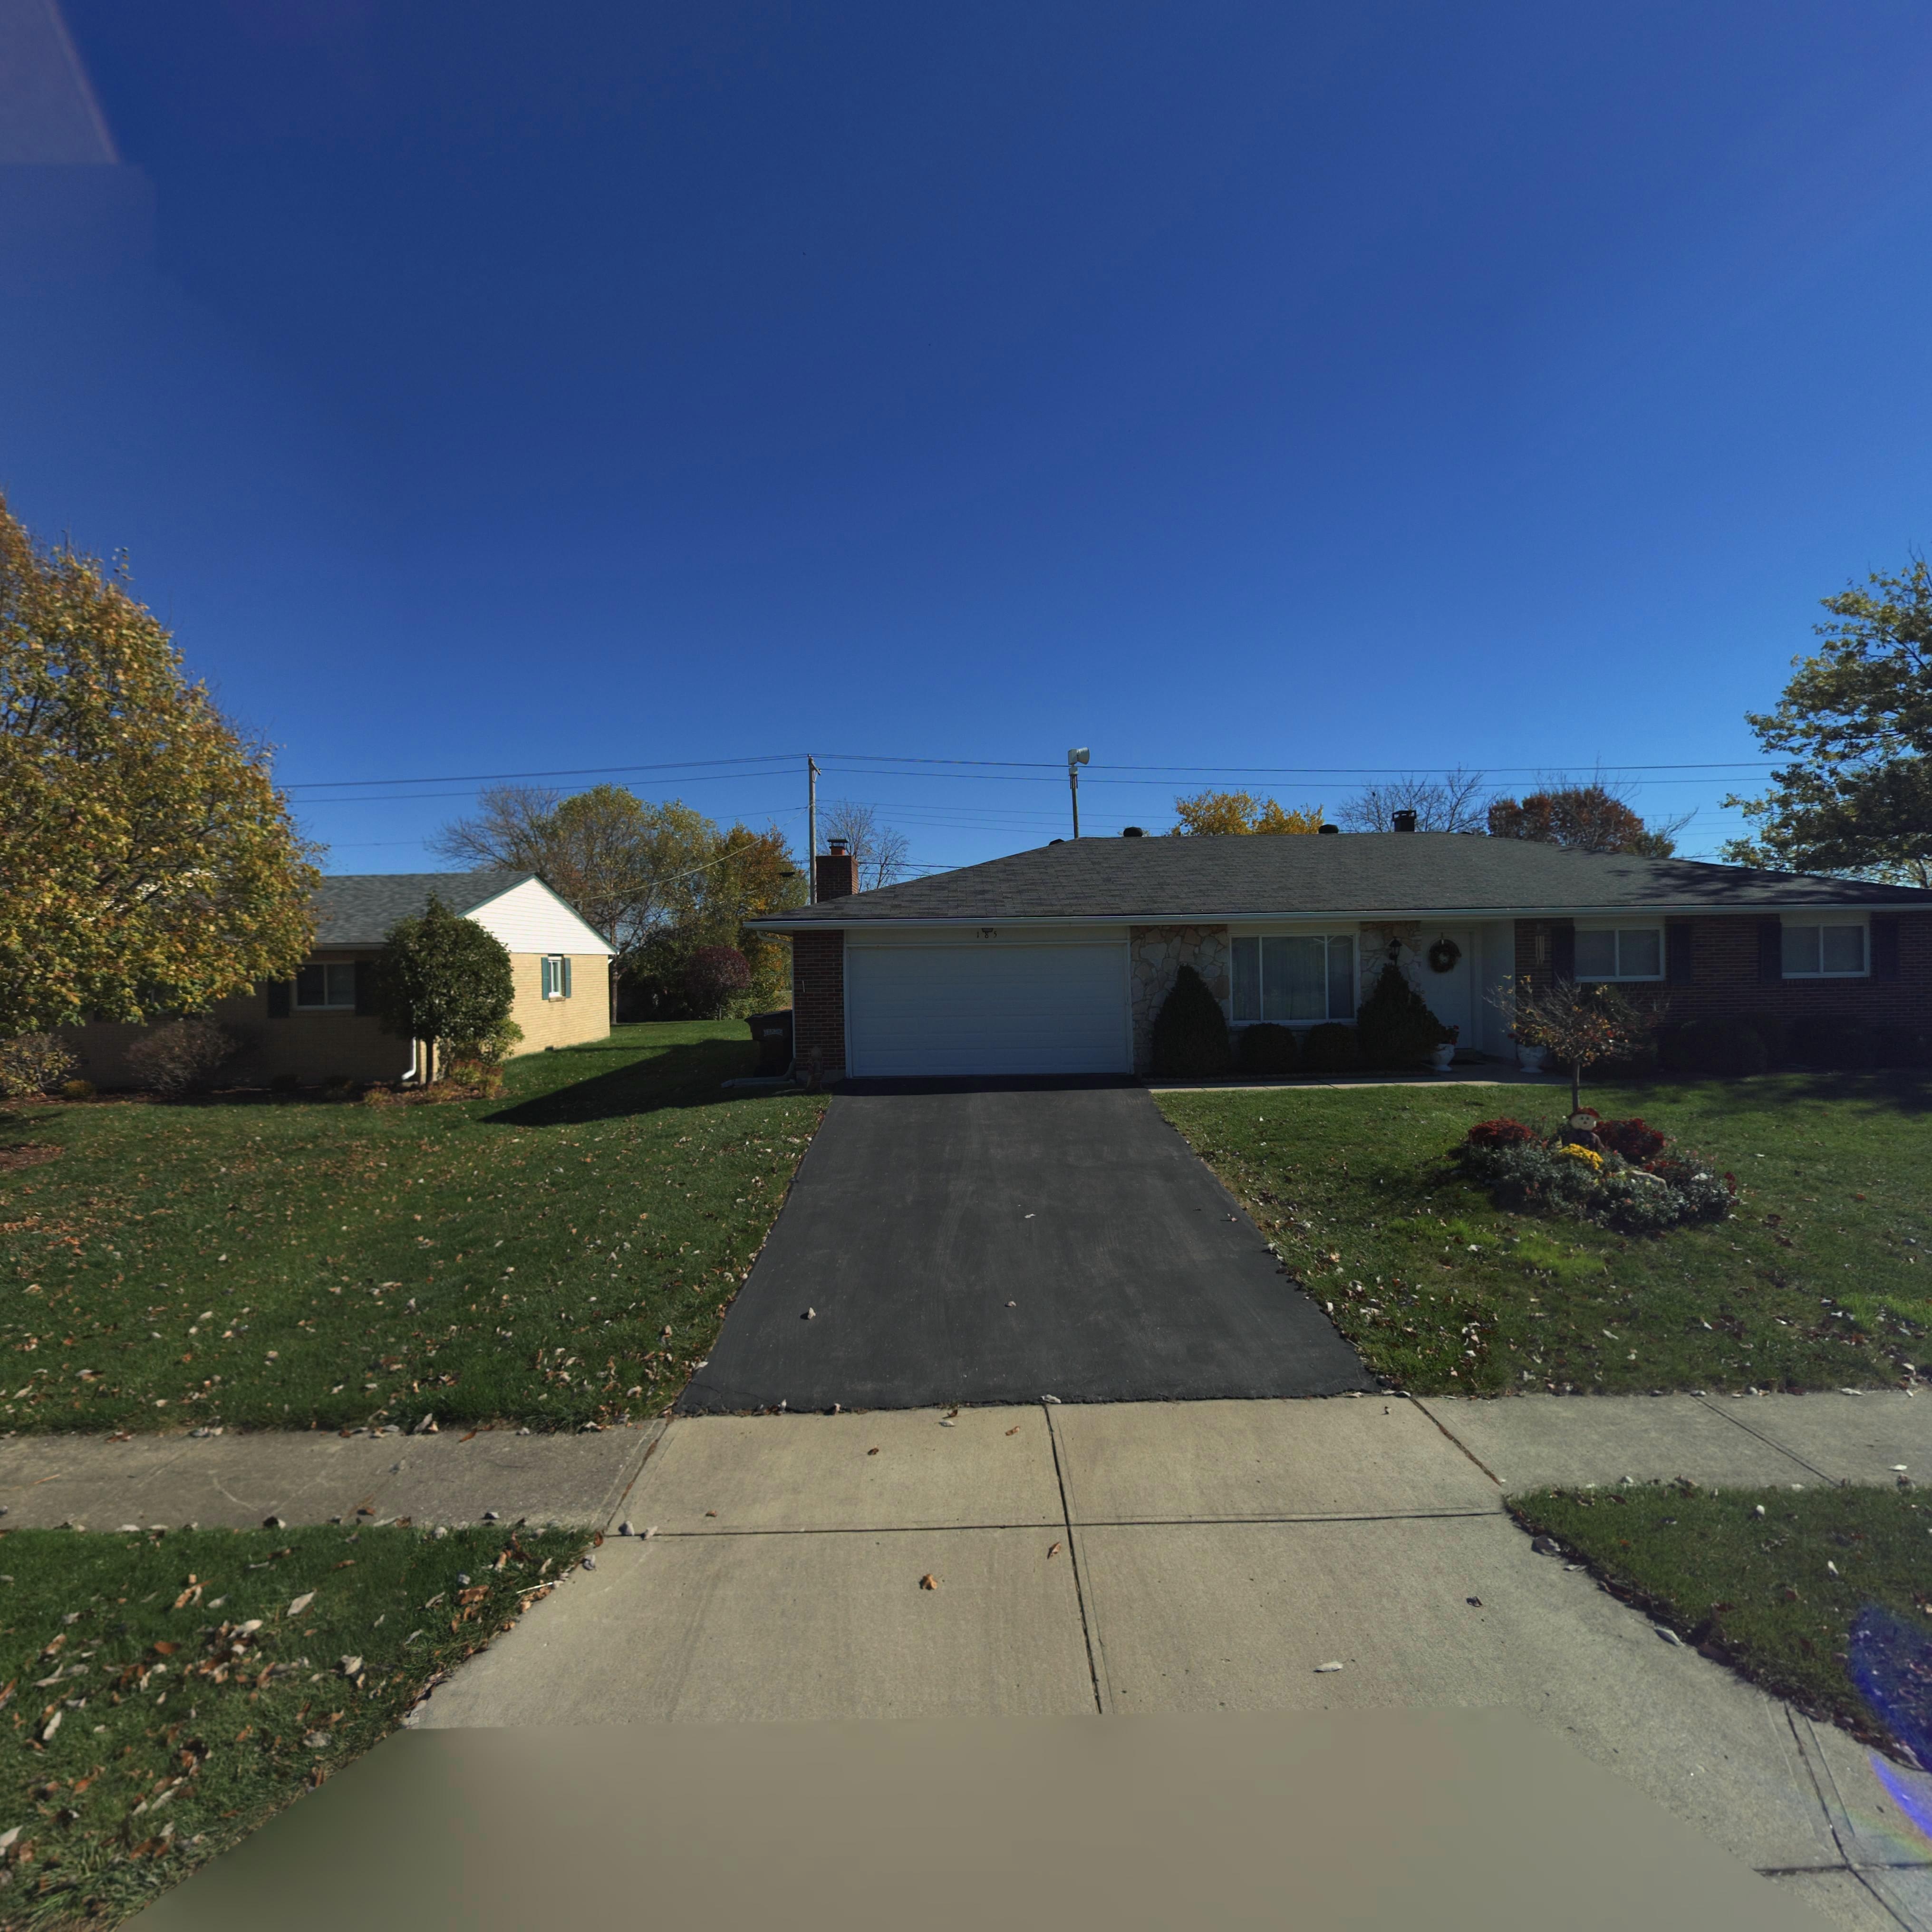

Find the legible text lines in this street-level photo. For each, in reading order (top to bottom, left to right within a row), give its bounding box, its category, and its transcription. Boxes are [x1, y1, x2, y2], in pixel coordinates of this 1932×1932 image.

[976, 930, 998, 939] StreetNumber: 1*5